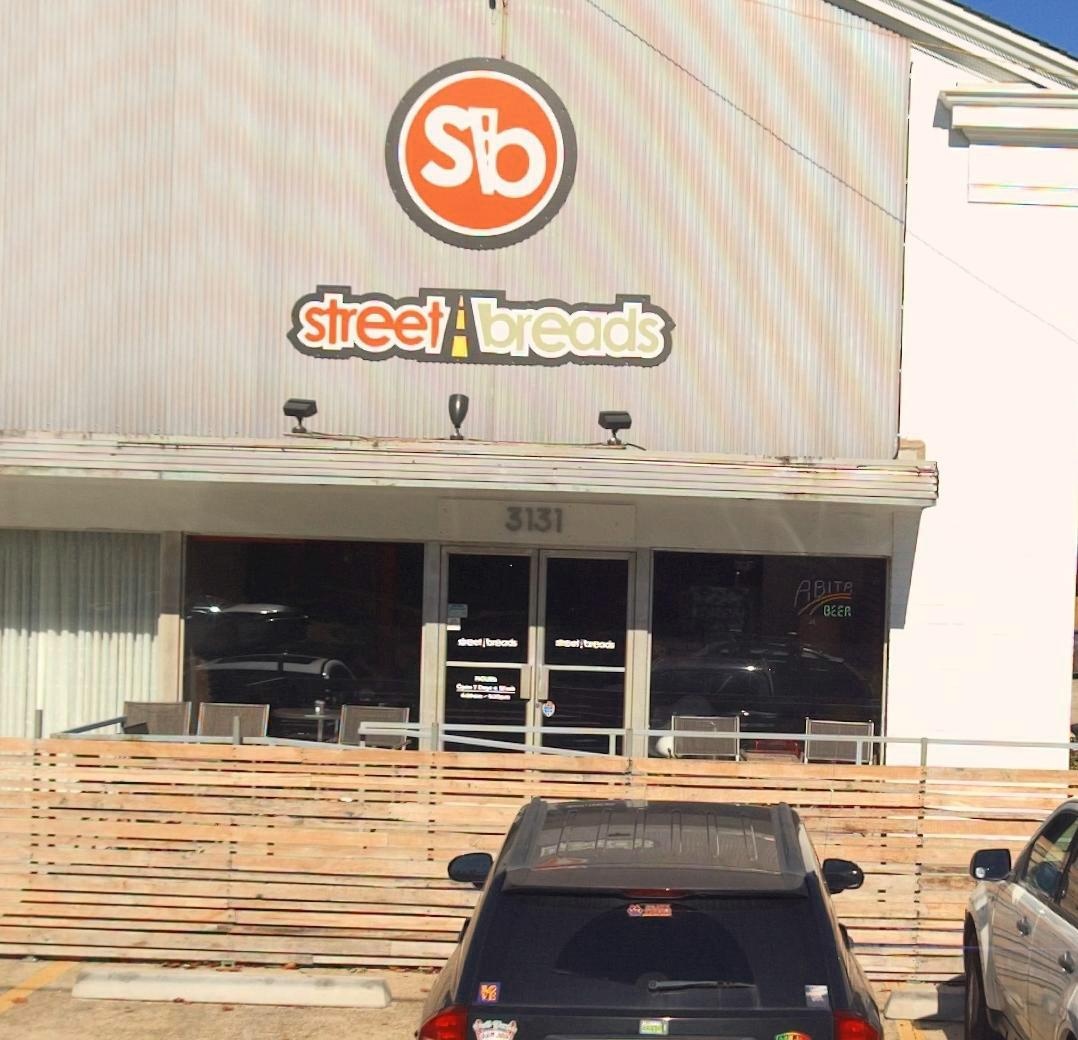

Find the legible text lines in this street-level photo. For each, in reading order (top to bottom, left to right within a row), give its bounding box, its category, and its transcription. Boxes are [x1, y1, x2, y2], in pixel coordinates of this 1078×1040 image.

[418, 103, 550, 201] None: sb
[301, 296, 662, 357] BusinessName: street breads
[502, 503, 566, 536] StreetNumber: 3131
[791, 576, 855, 609] None: ABITA
[821, 602, 854, 620] None: BEER